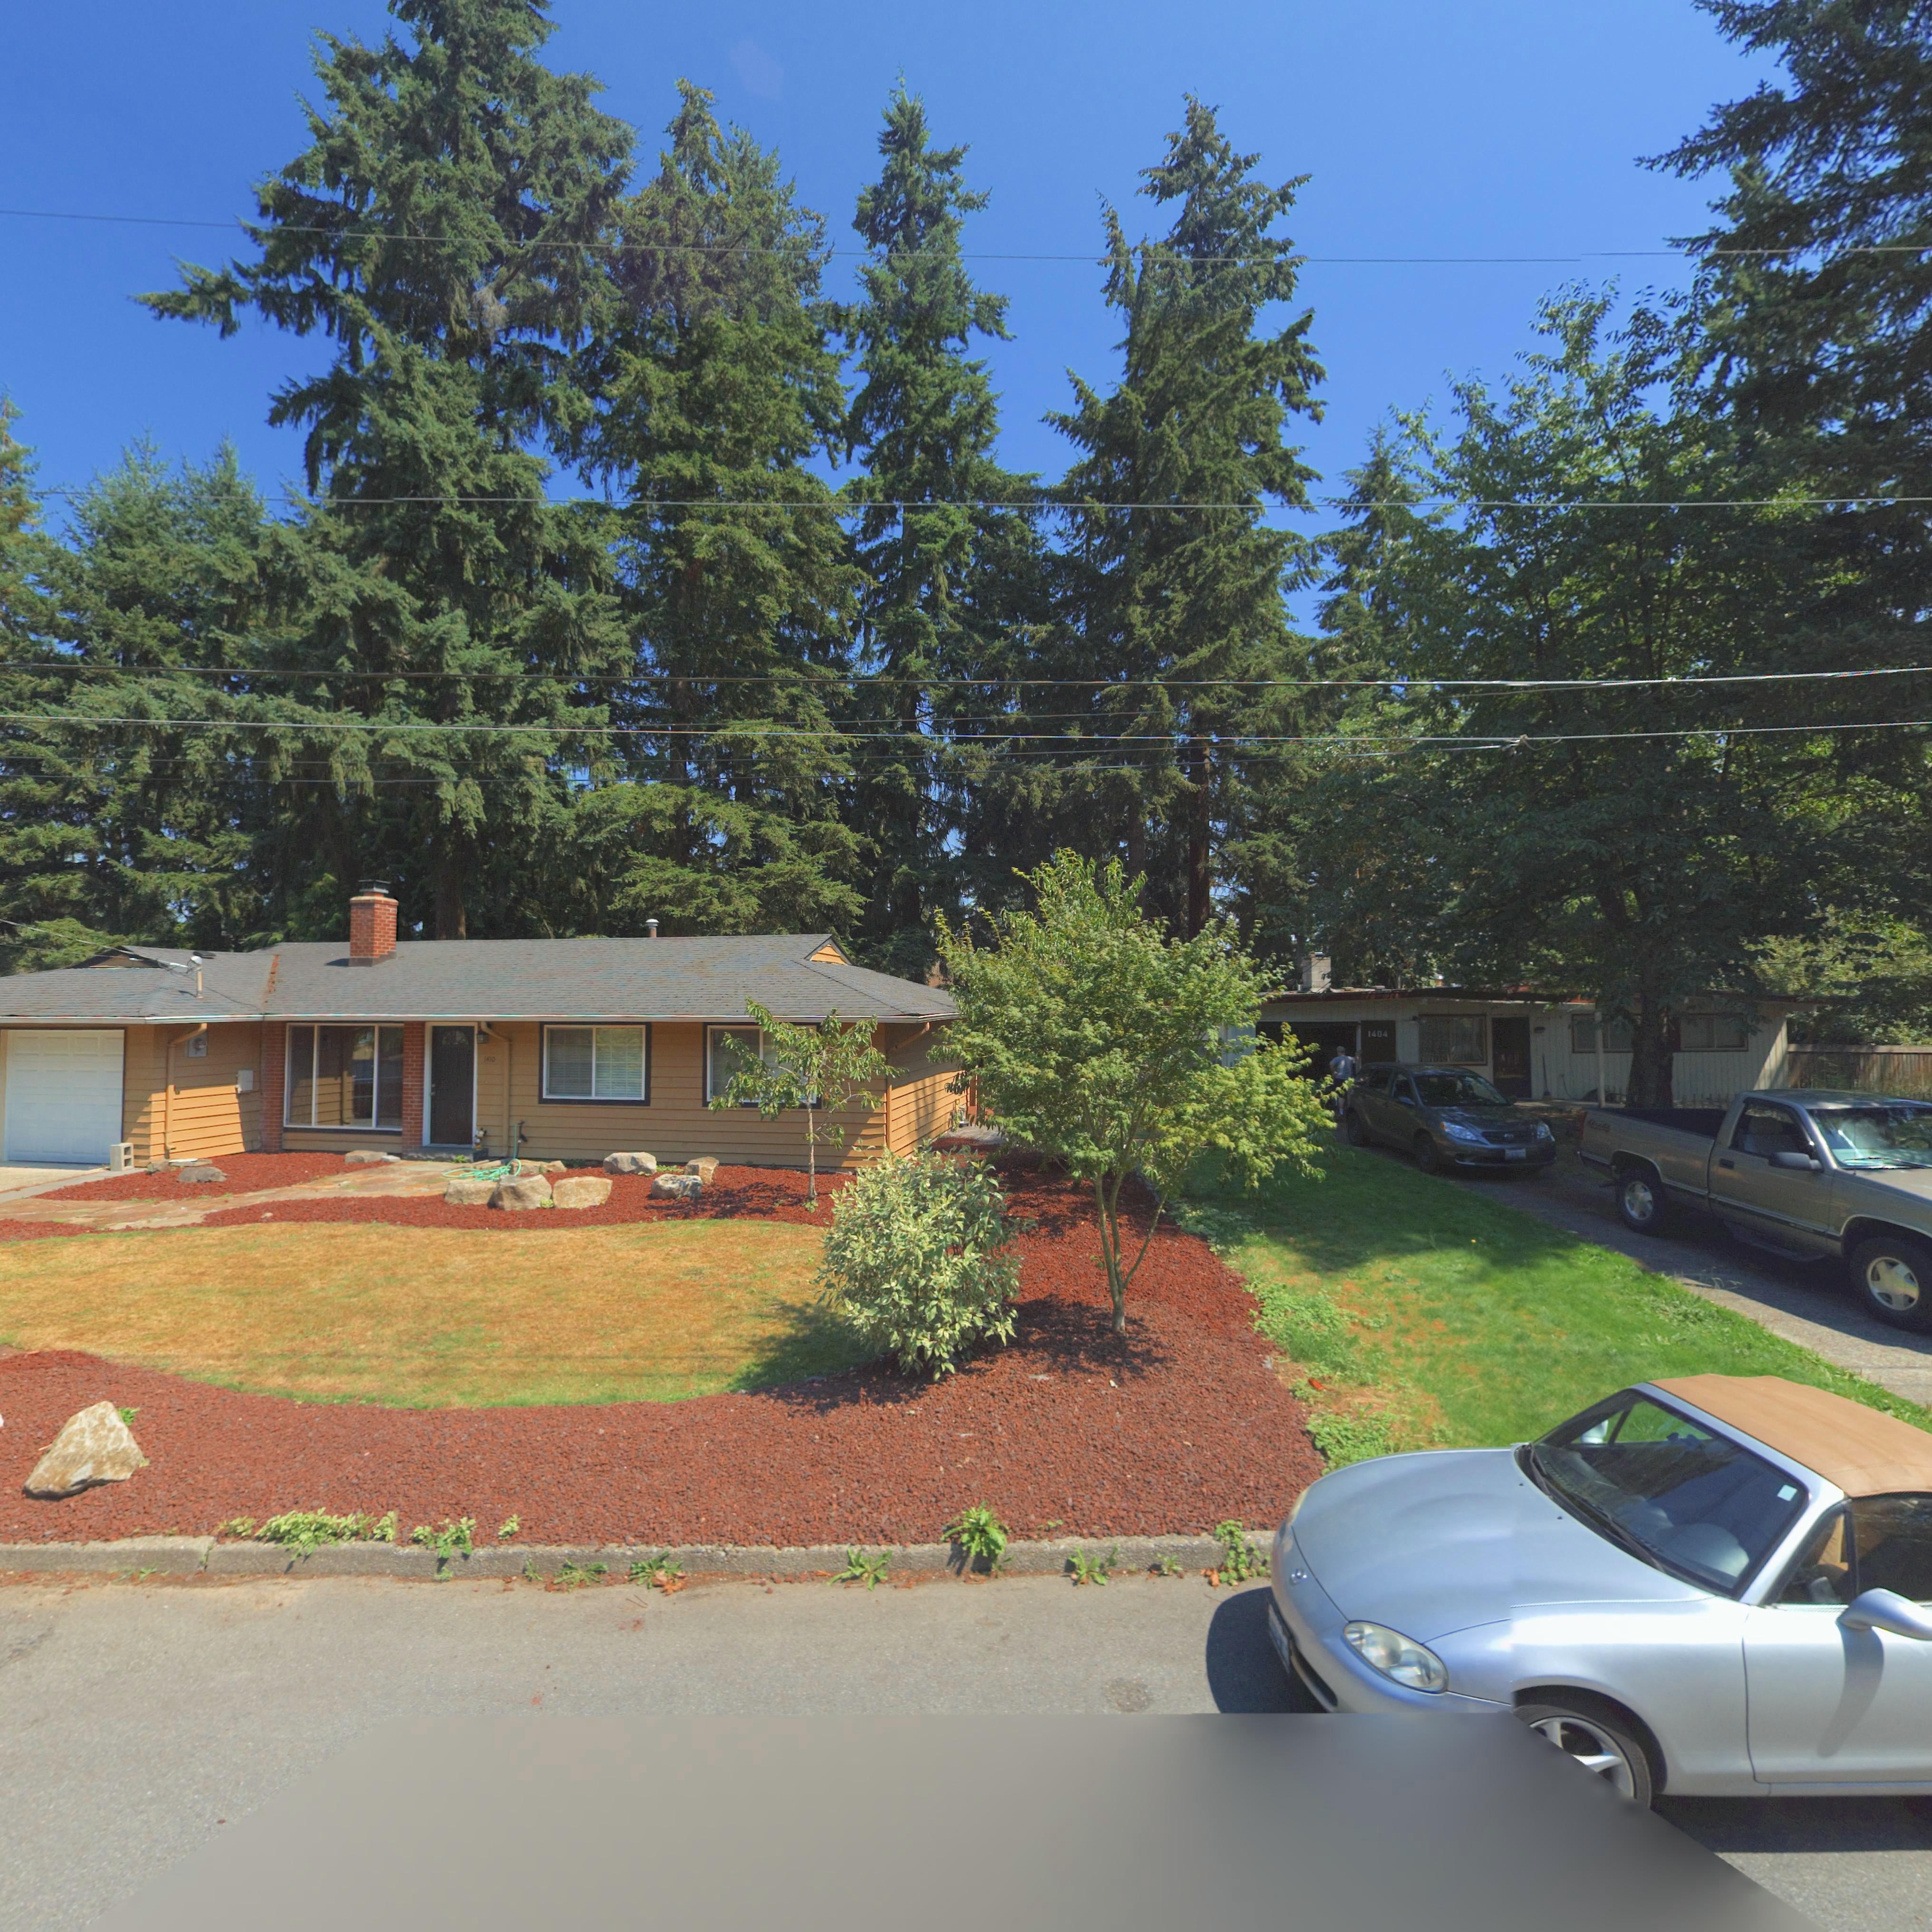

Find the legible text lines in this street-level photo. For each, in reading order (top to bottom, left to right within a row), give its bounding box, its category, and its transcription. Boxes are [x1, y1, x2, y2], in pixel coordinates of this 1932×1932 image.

[1368, 1030, 1388, 1037] StreetNumber: 1404
[483, 1056, 495, 1062] StreetNumber: *4**